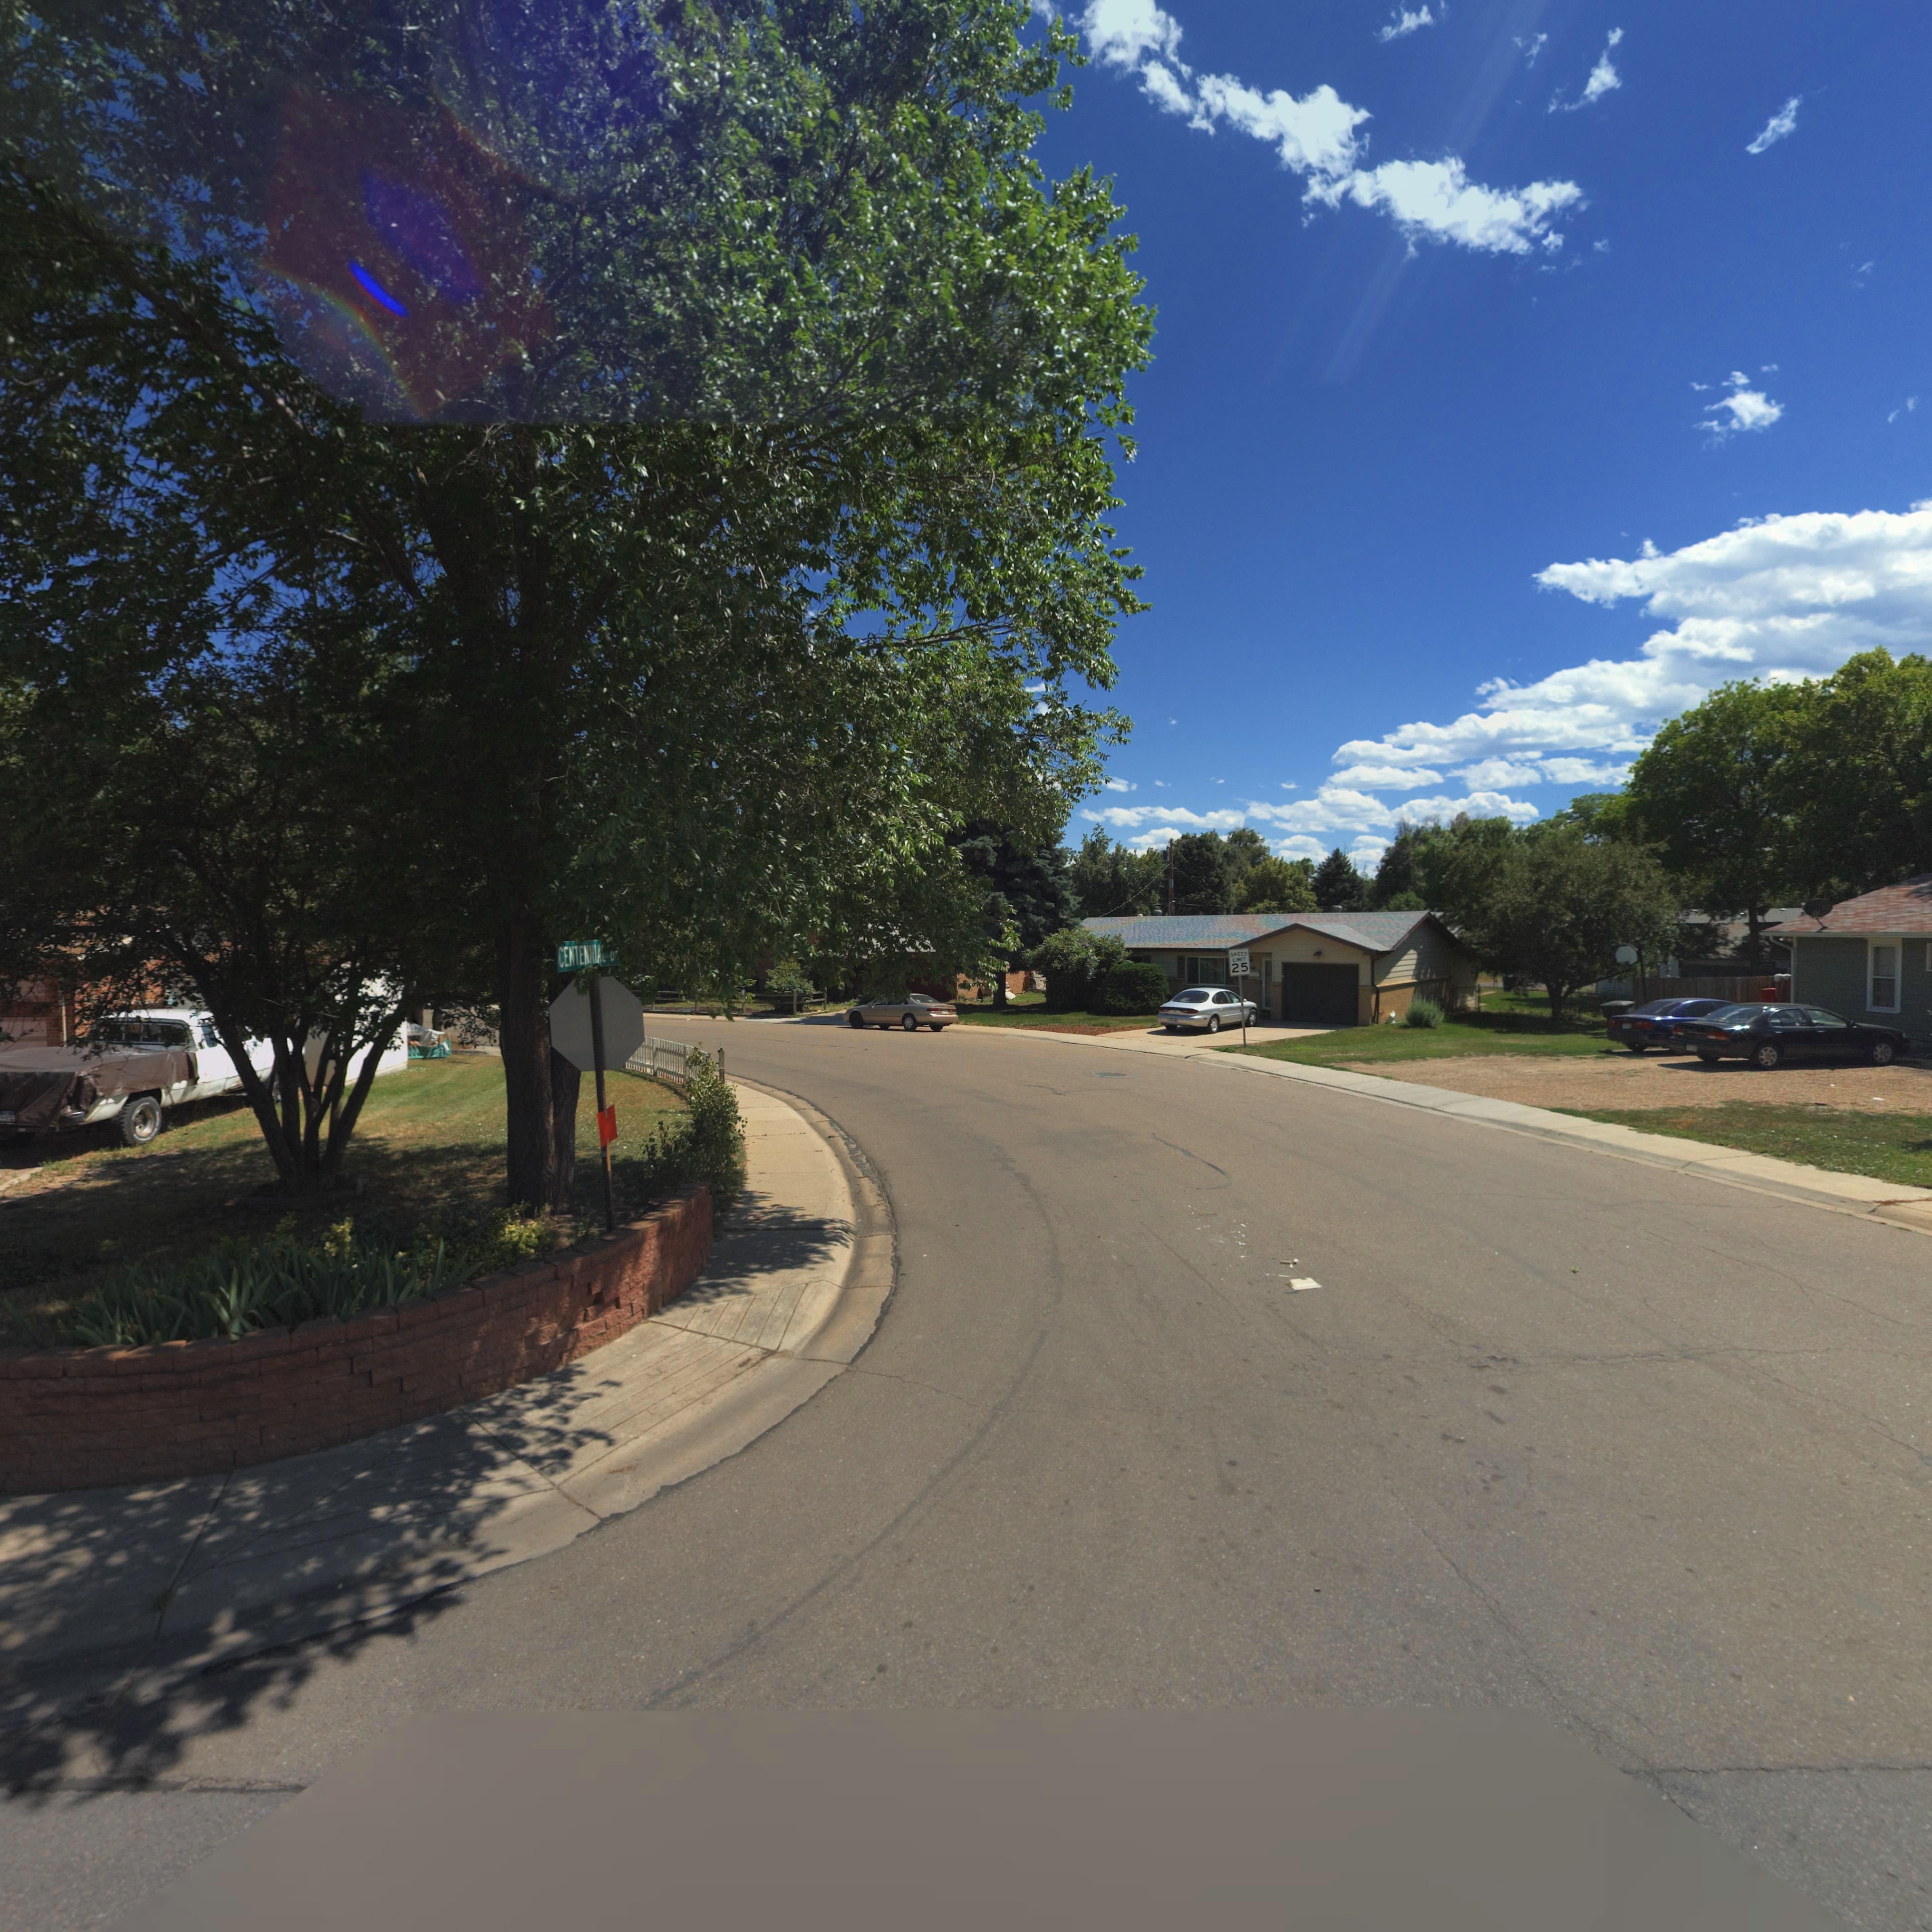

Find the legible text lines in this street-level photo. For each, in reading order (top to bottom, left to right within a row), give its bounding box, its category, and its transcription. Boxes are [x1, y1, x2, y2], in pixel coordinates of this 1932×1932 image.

[558, 944, 614, 968] StreetName: CENTENNIAL *